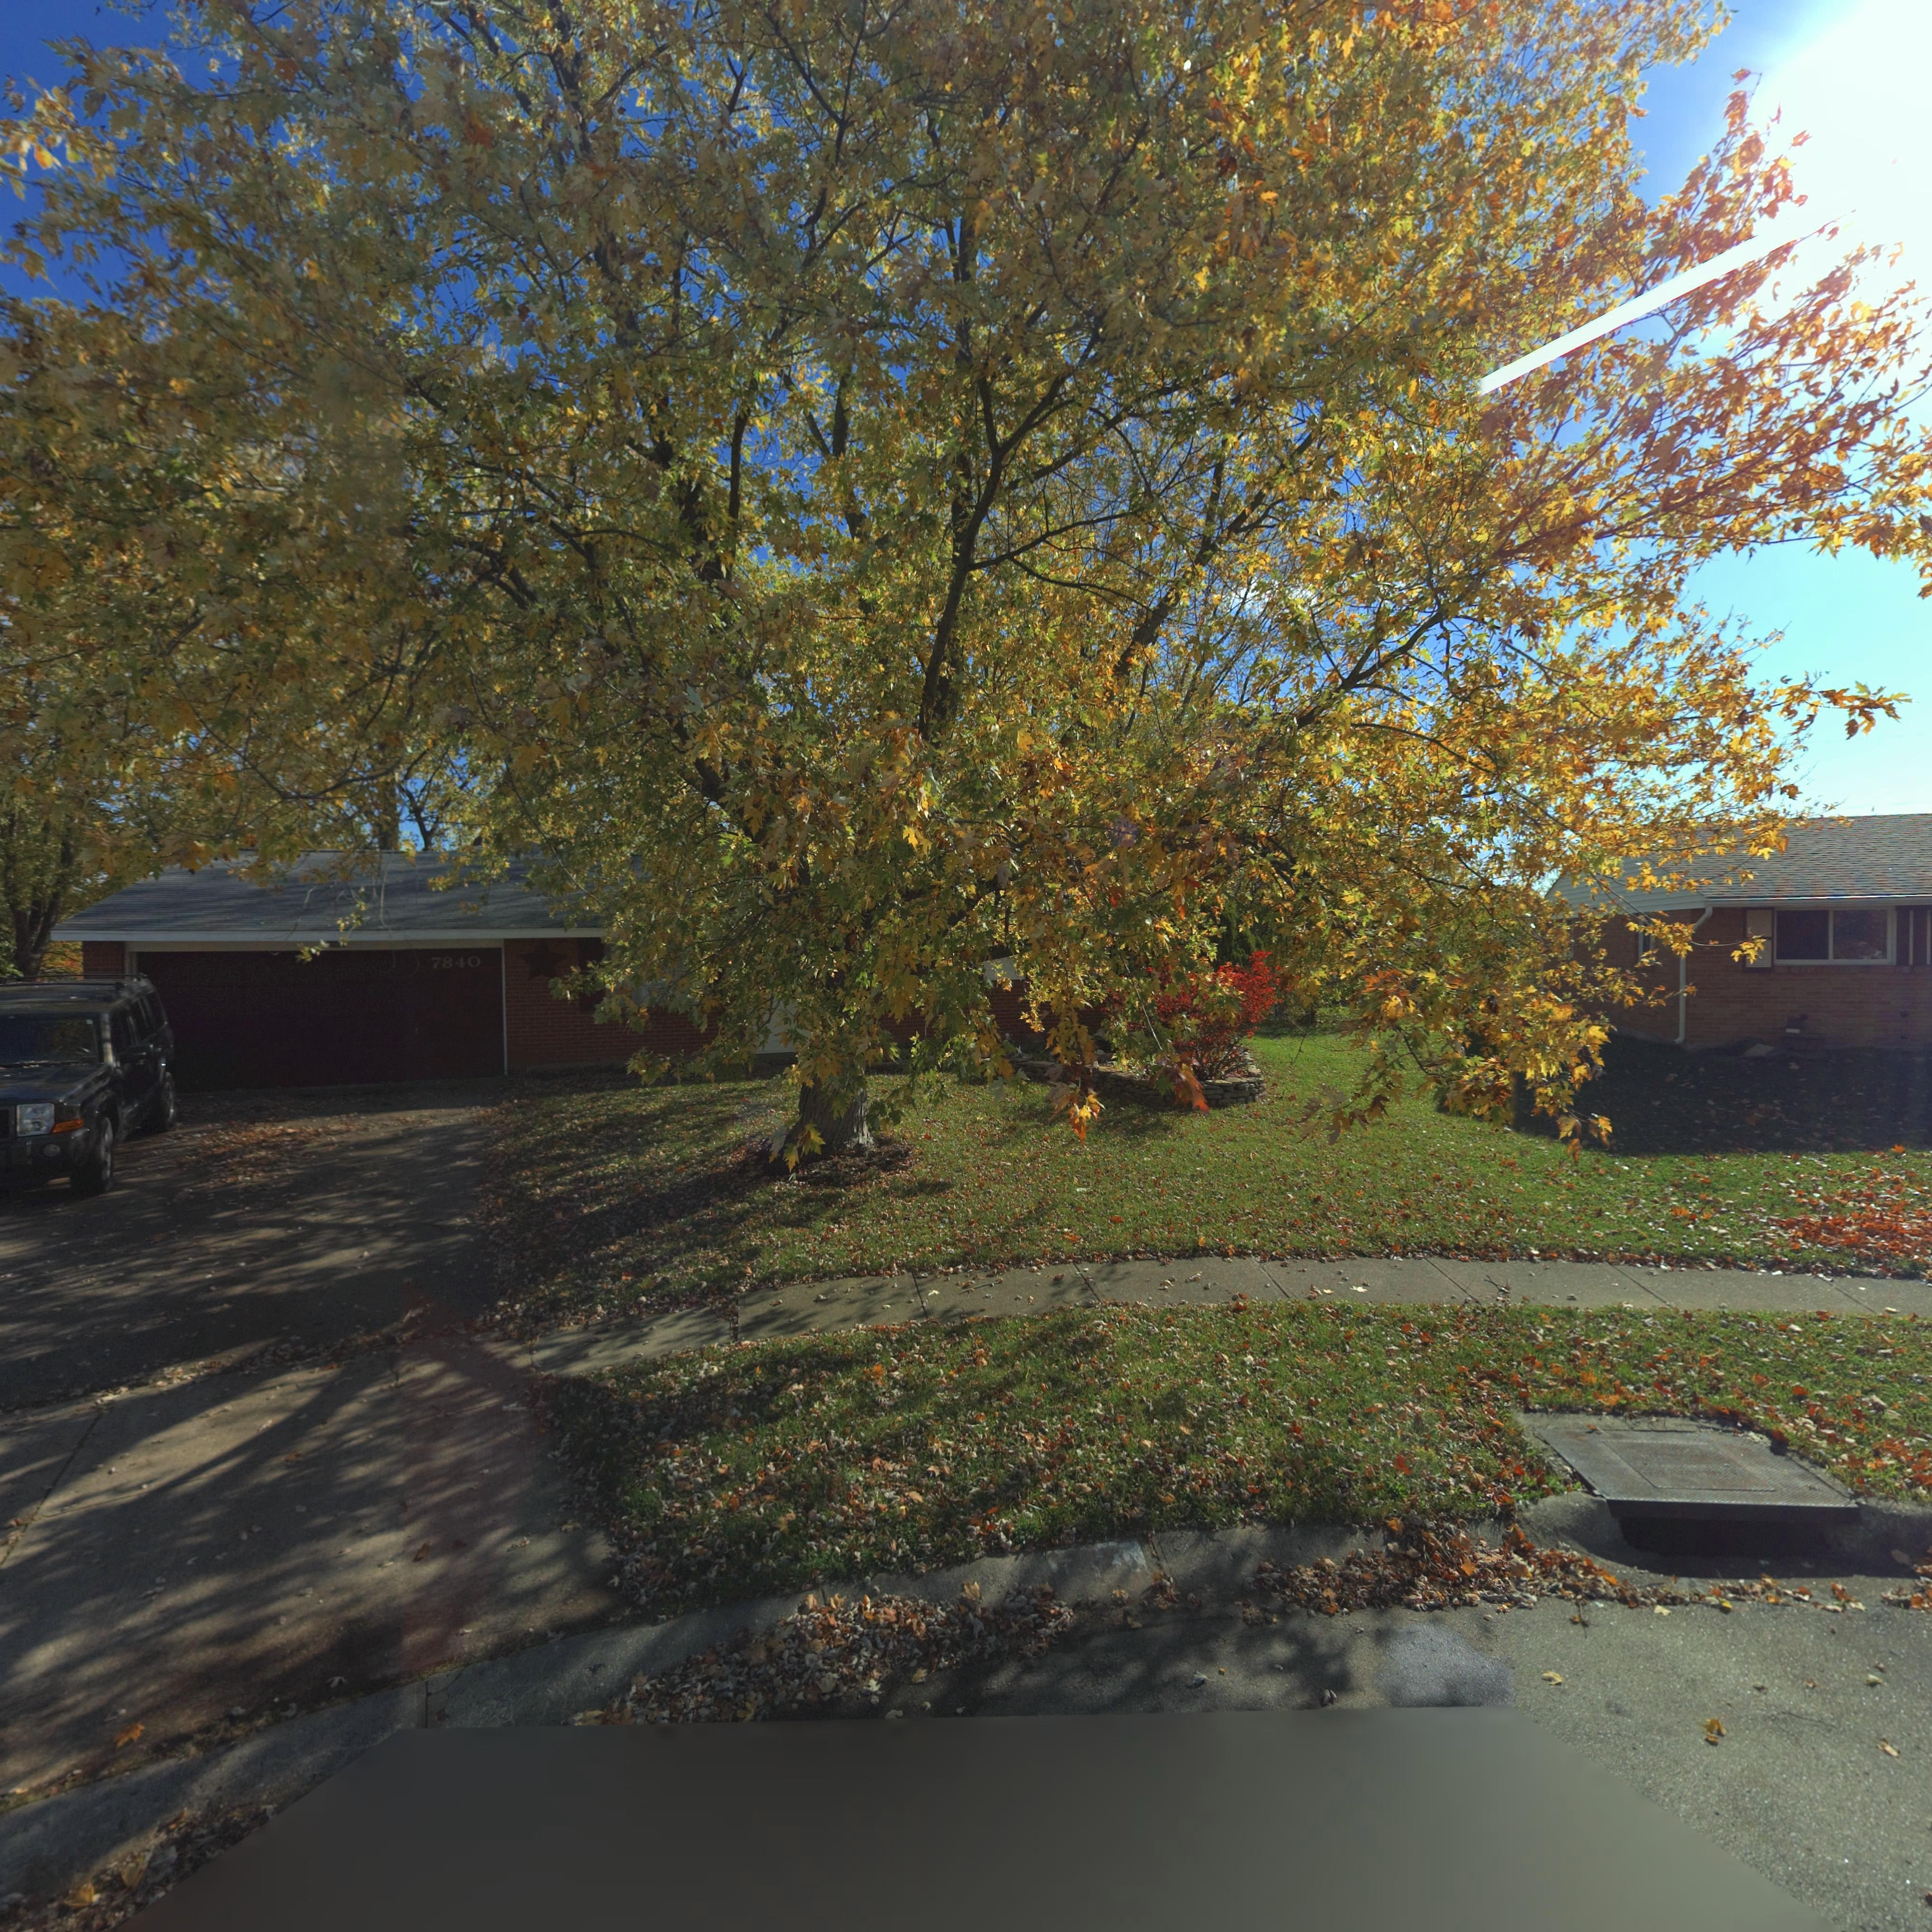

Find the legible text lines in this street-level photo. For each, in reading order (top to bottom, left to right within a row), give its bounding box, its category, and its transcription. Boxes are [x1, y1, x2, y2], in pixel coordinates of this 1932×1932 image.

[429, 954, 483, 970] StreetNumber: 7840